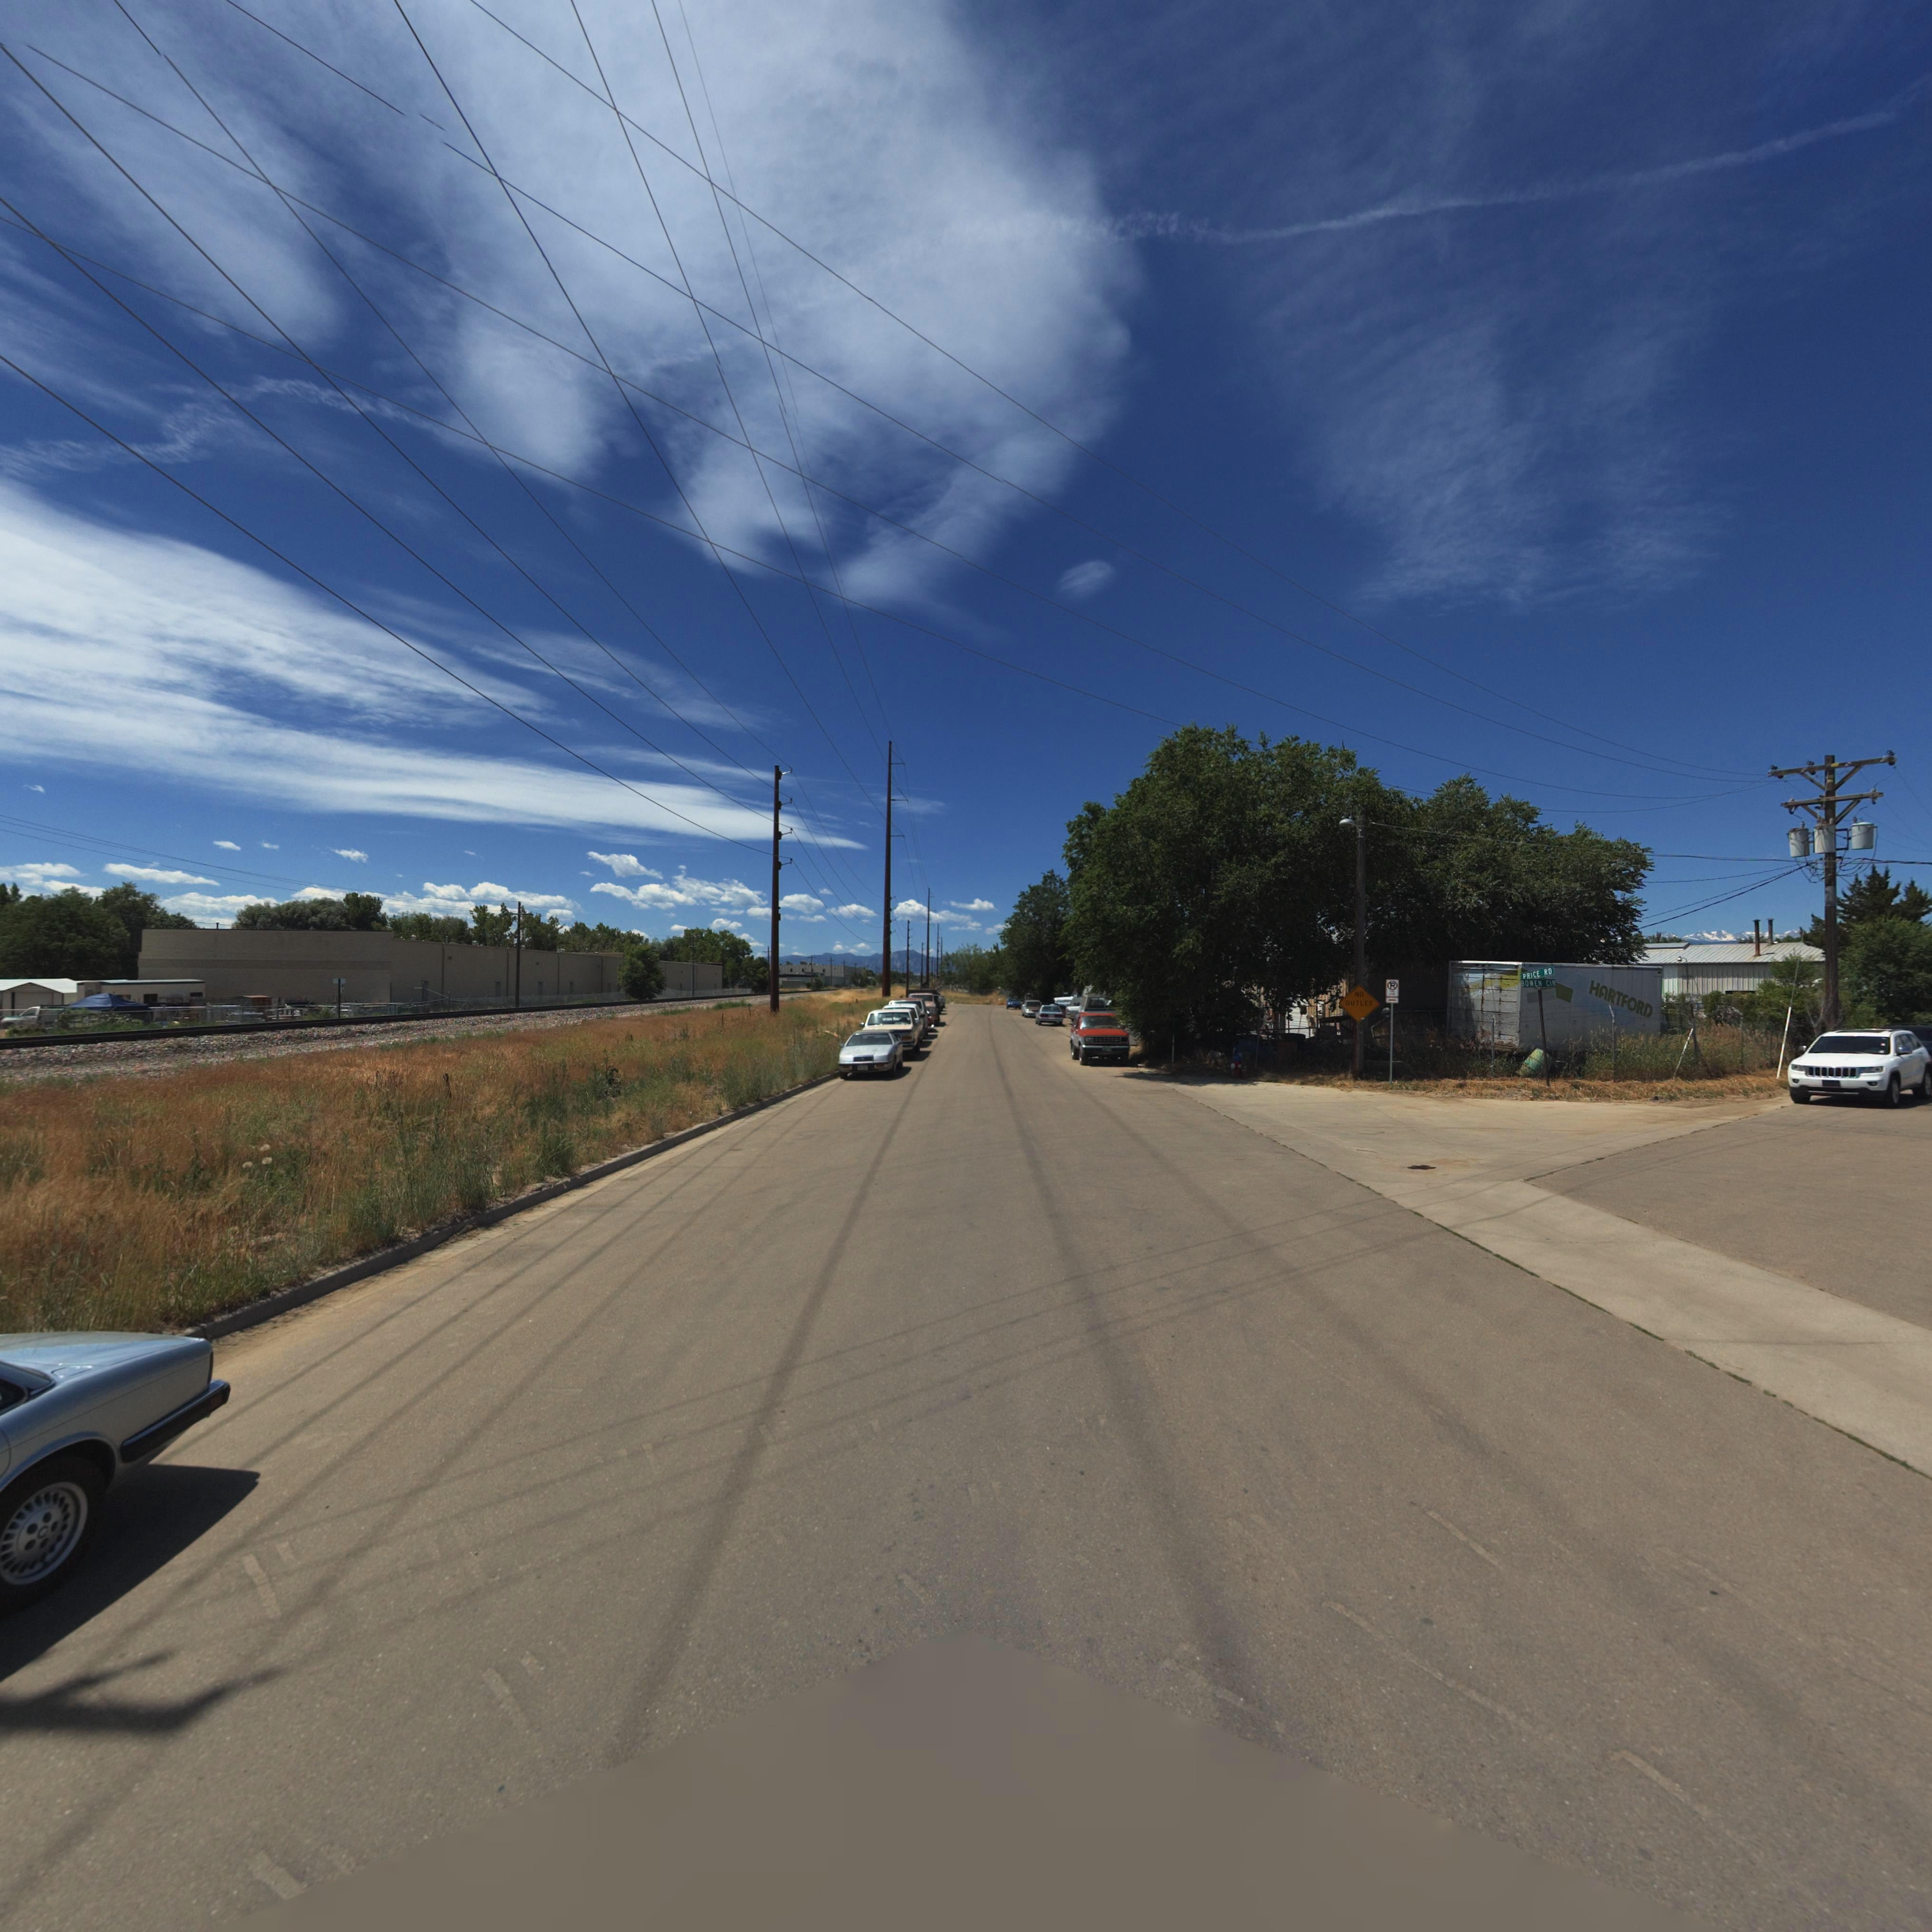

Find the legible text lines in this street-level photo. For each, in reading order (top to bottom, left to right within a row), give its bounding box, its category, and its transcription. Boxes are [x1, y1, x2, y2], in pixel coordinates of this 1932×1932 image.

[1523, 967, 1552, 979] StreetName: PRICE RD
[1520, 980, 1556, 986] StreetName: BOWEN CIR